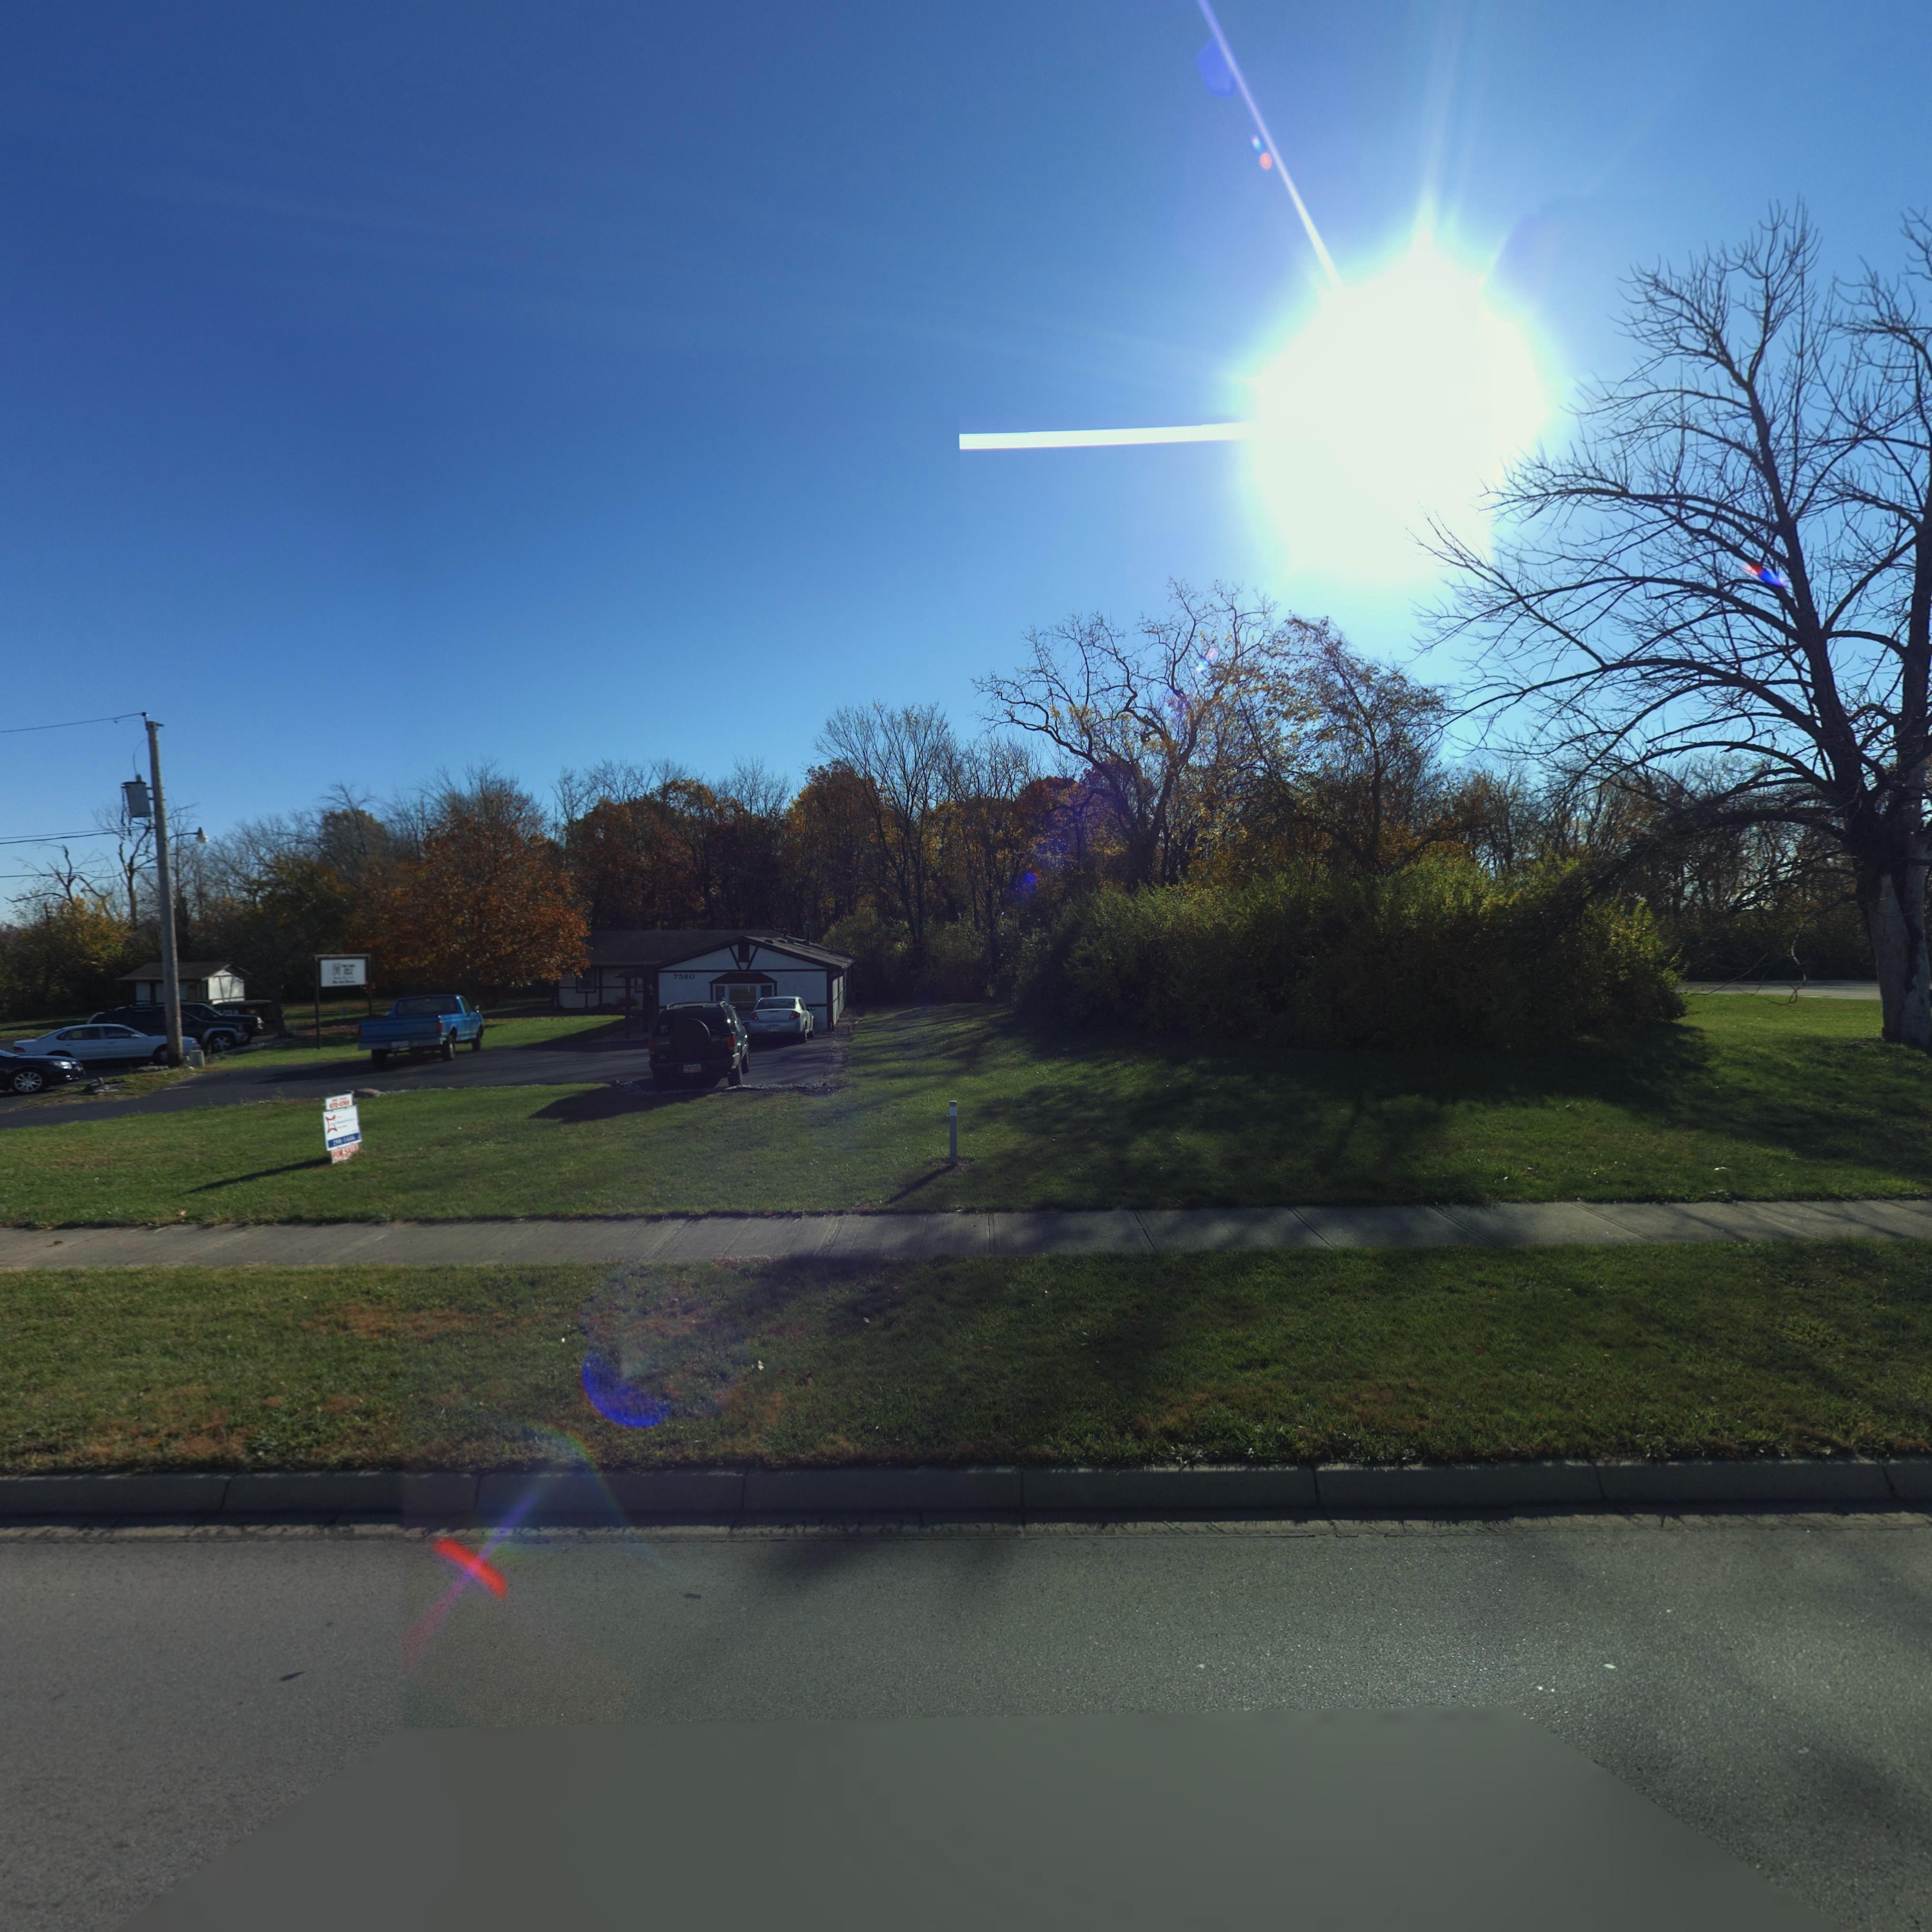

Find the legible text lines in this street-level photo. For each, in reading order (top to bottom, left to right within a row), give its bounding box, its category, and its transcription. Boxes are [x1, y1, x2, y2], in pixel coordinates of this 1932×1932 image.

[673, 973, 696, 980] StreetNumber: 7580